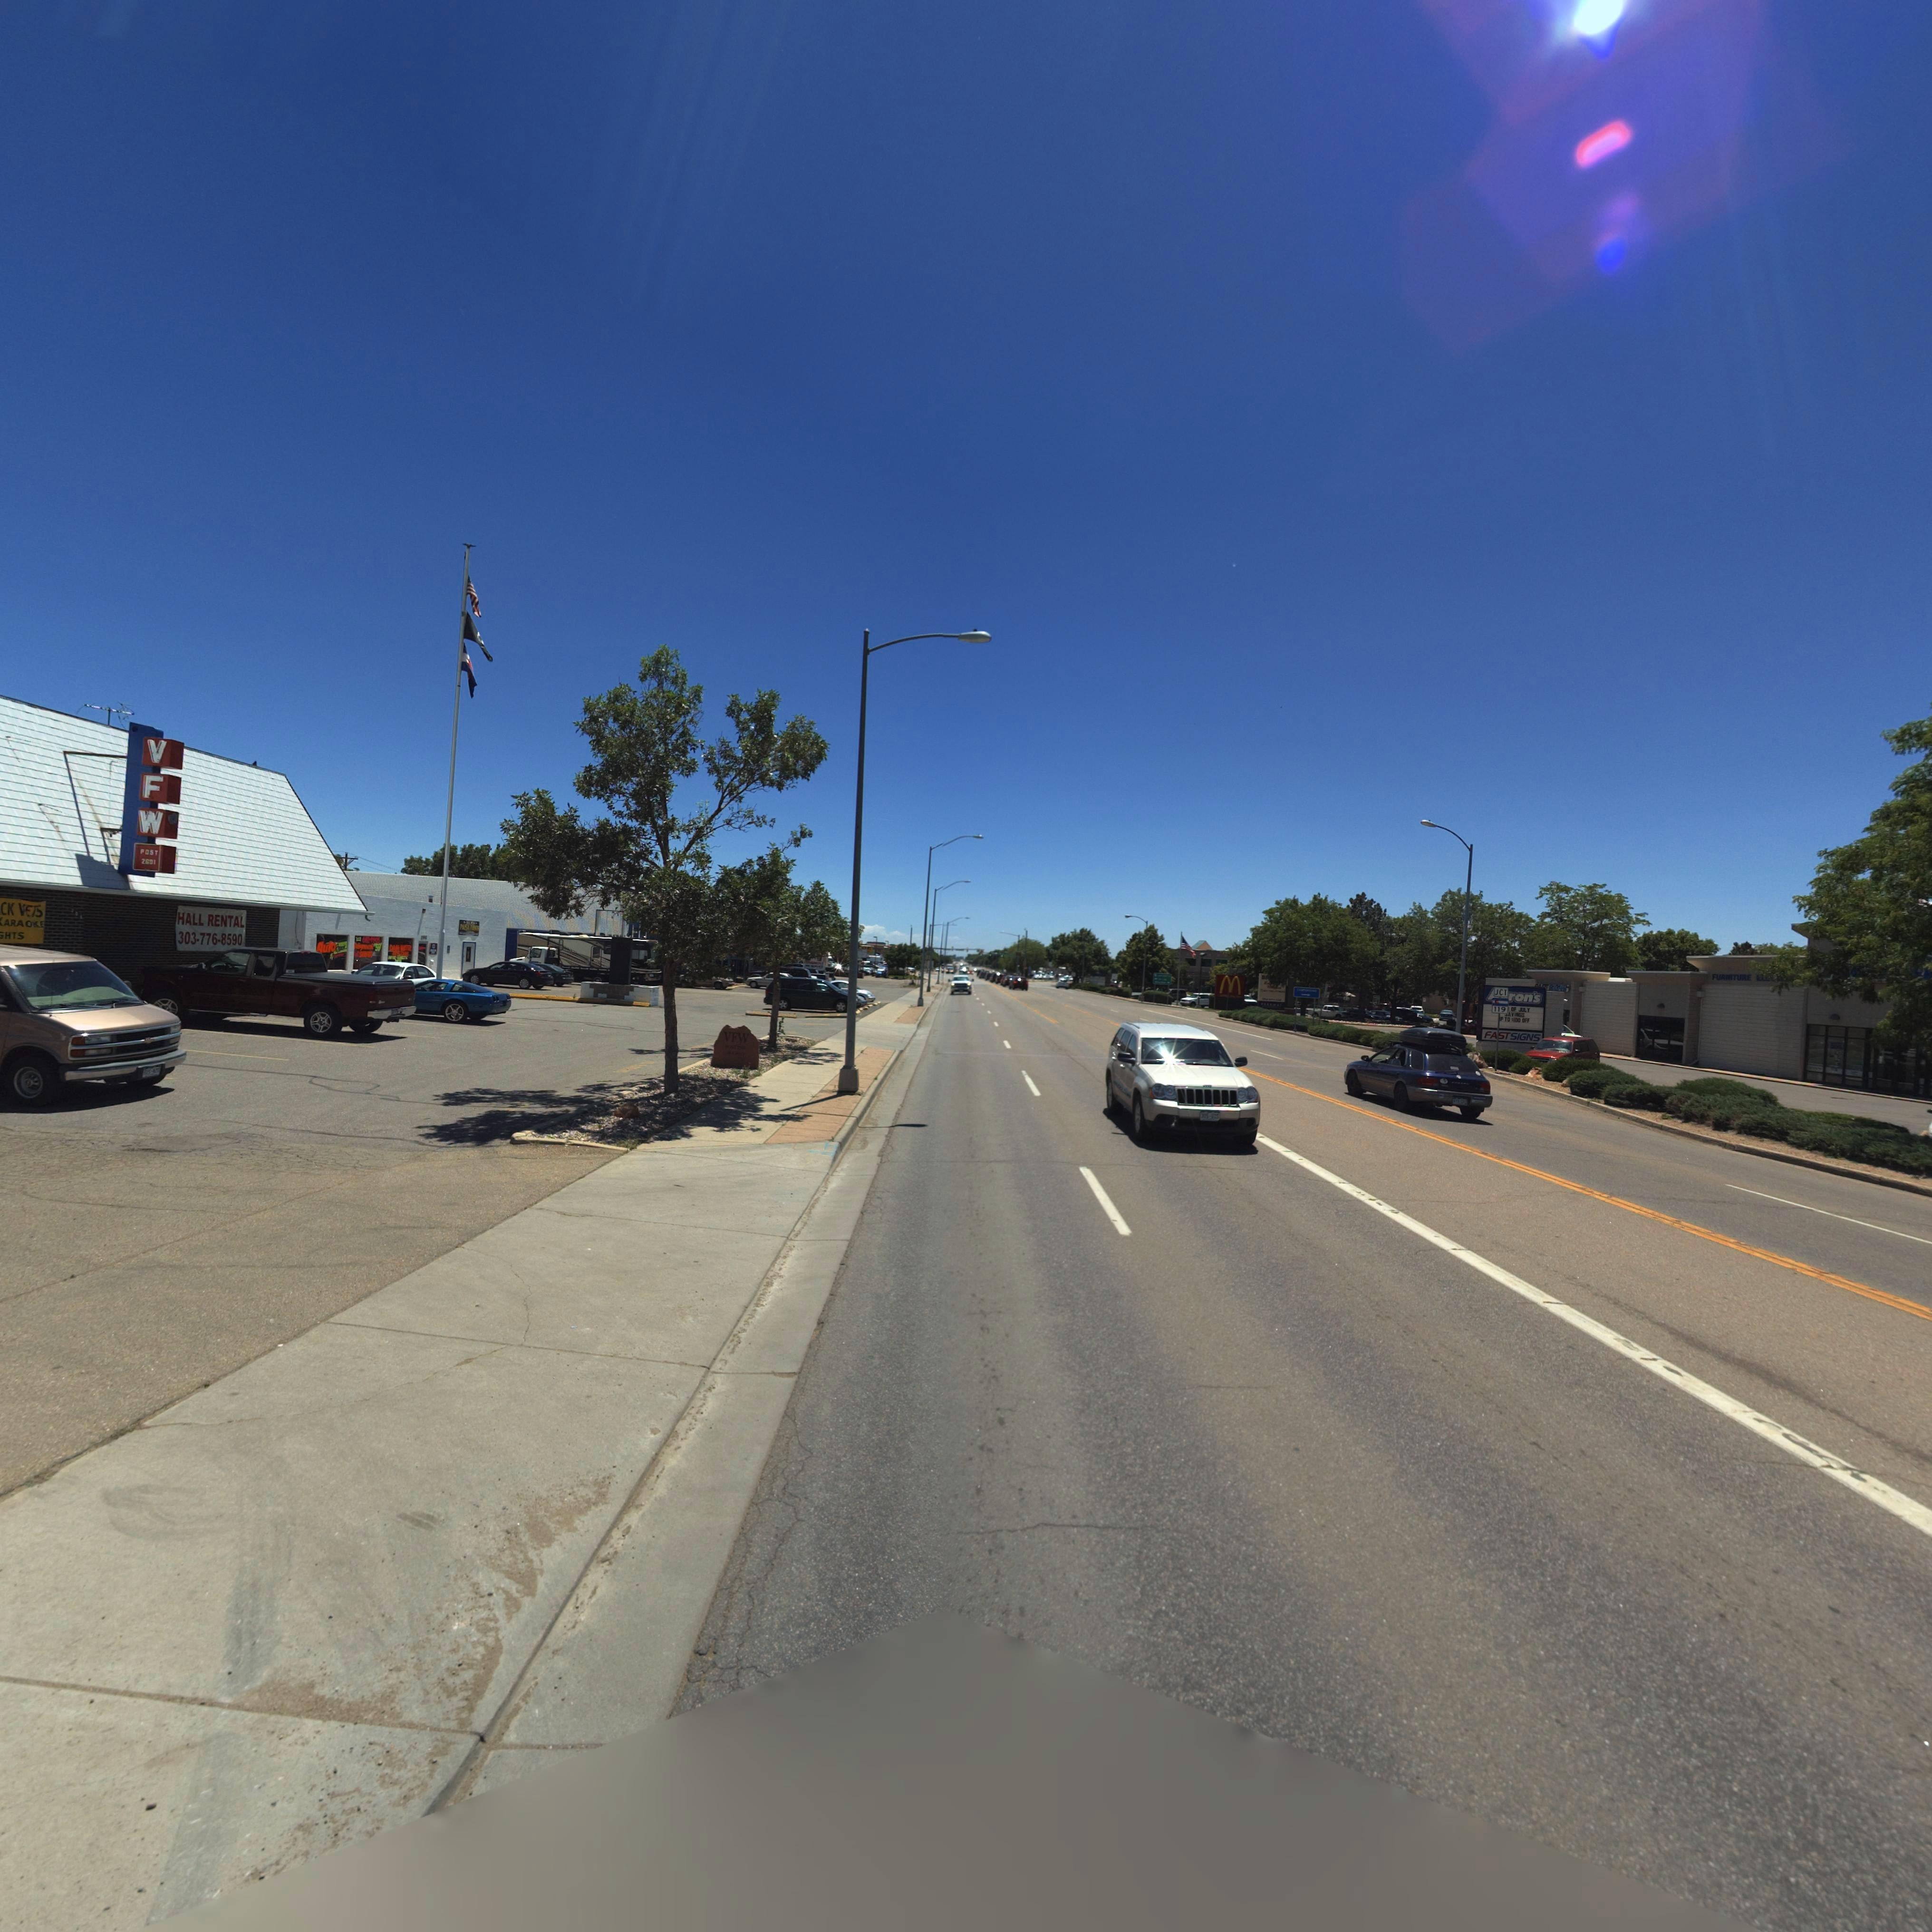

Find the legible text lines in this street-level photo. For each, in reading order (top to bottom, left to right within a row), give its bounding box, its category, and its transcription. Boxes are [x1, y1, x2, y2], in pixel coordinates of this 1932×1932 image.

[138, 739, 166, 834] BusinessName: VFW
[141, 859, 155, 865] StreetNumber: 2601
[463, 920, 477, 924] BusinessName: **TO
[460, 924, 479, 931] BusinessName: P*ISA P**N
[420, 935, 427, 940] StreetNumber: 208
[861, 946, 871, 949] BusinessName: OE
[813, 961, 824, 965] BusinessName: MONT
[1262, 975, 1267, 979] BusinessName: BI
[1263, 981, 1268, 985] BusinessName: L
[1266, 985, 1273, 988] BusinessName: M
[1549, 984, 1568, 992] BusinessName: **GNS
[1508, 992, 1541, 1003] BusinessName: ron's
[724, 1032, 750, 1043] BusinessName: VFW
[1484, 1031, 1541, 1041] BusinessName: FAST SIGNS